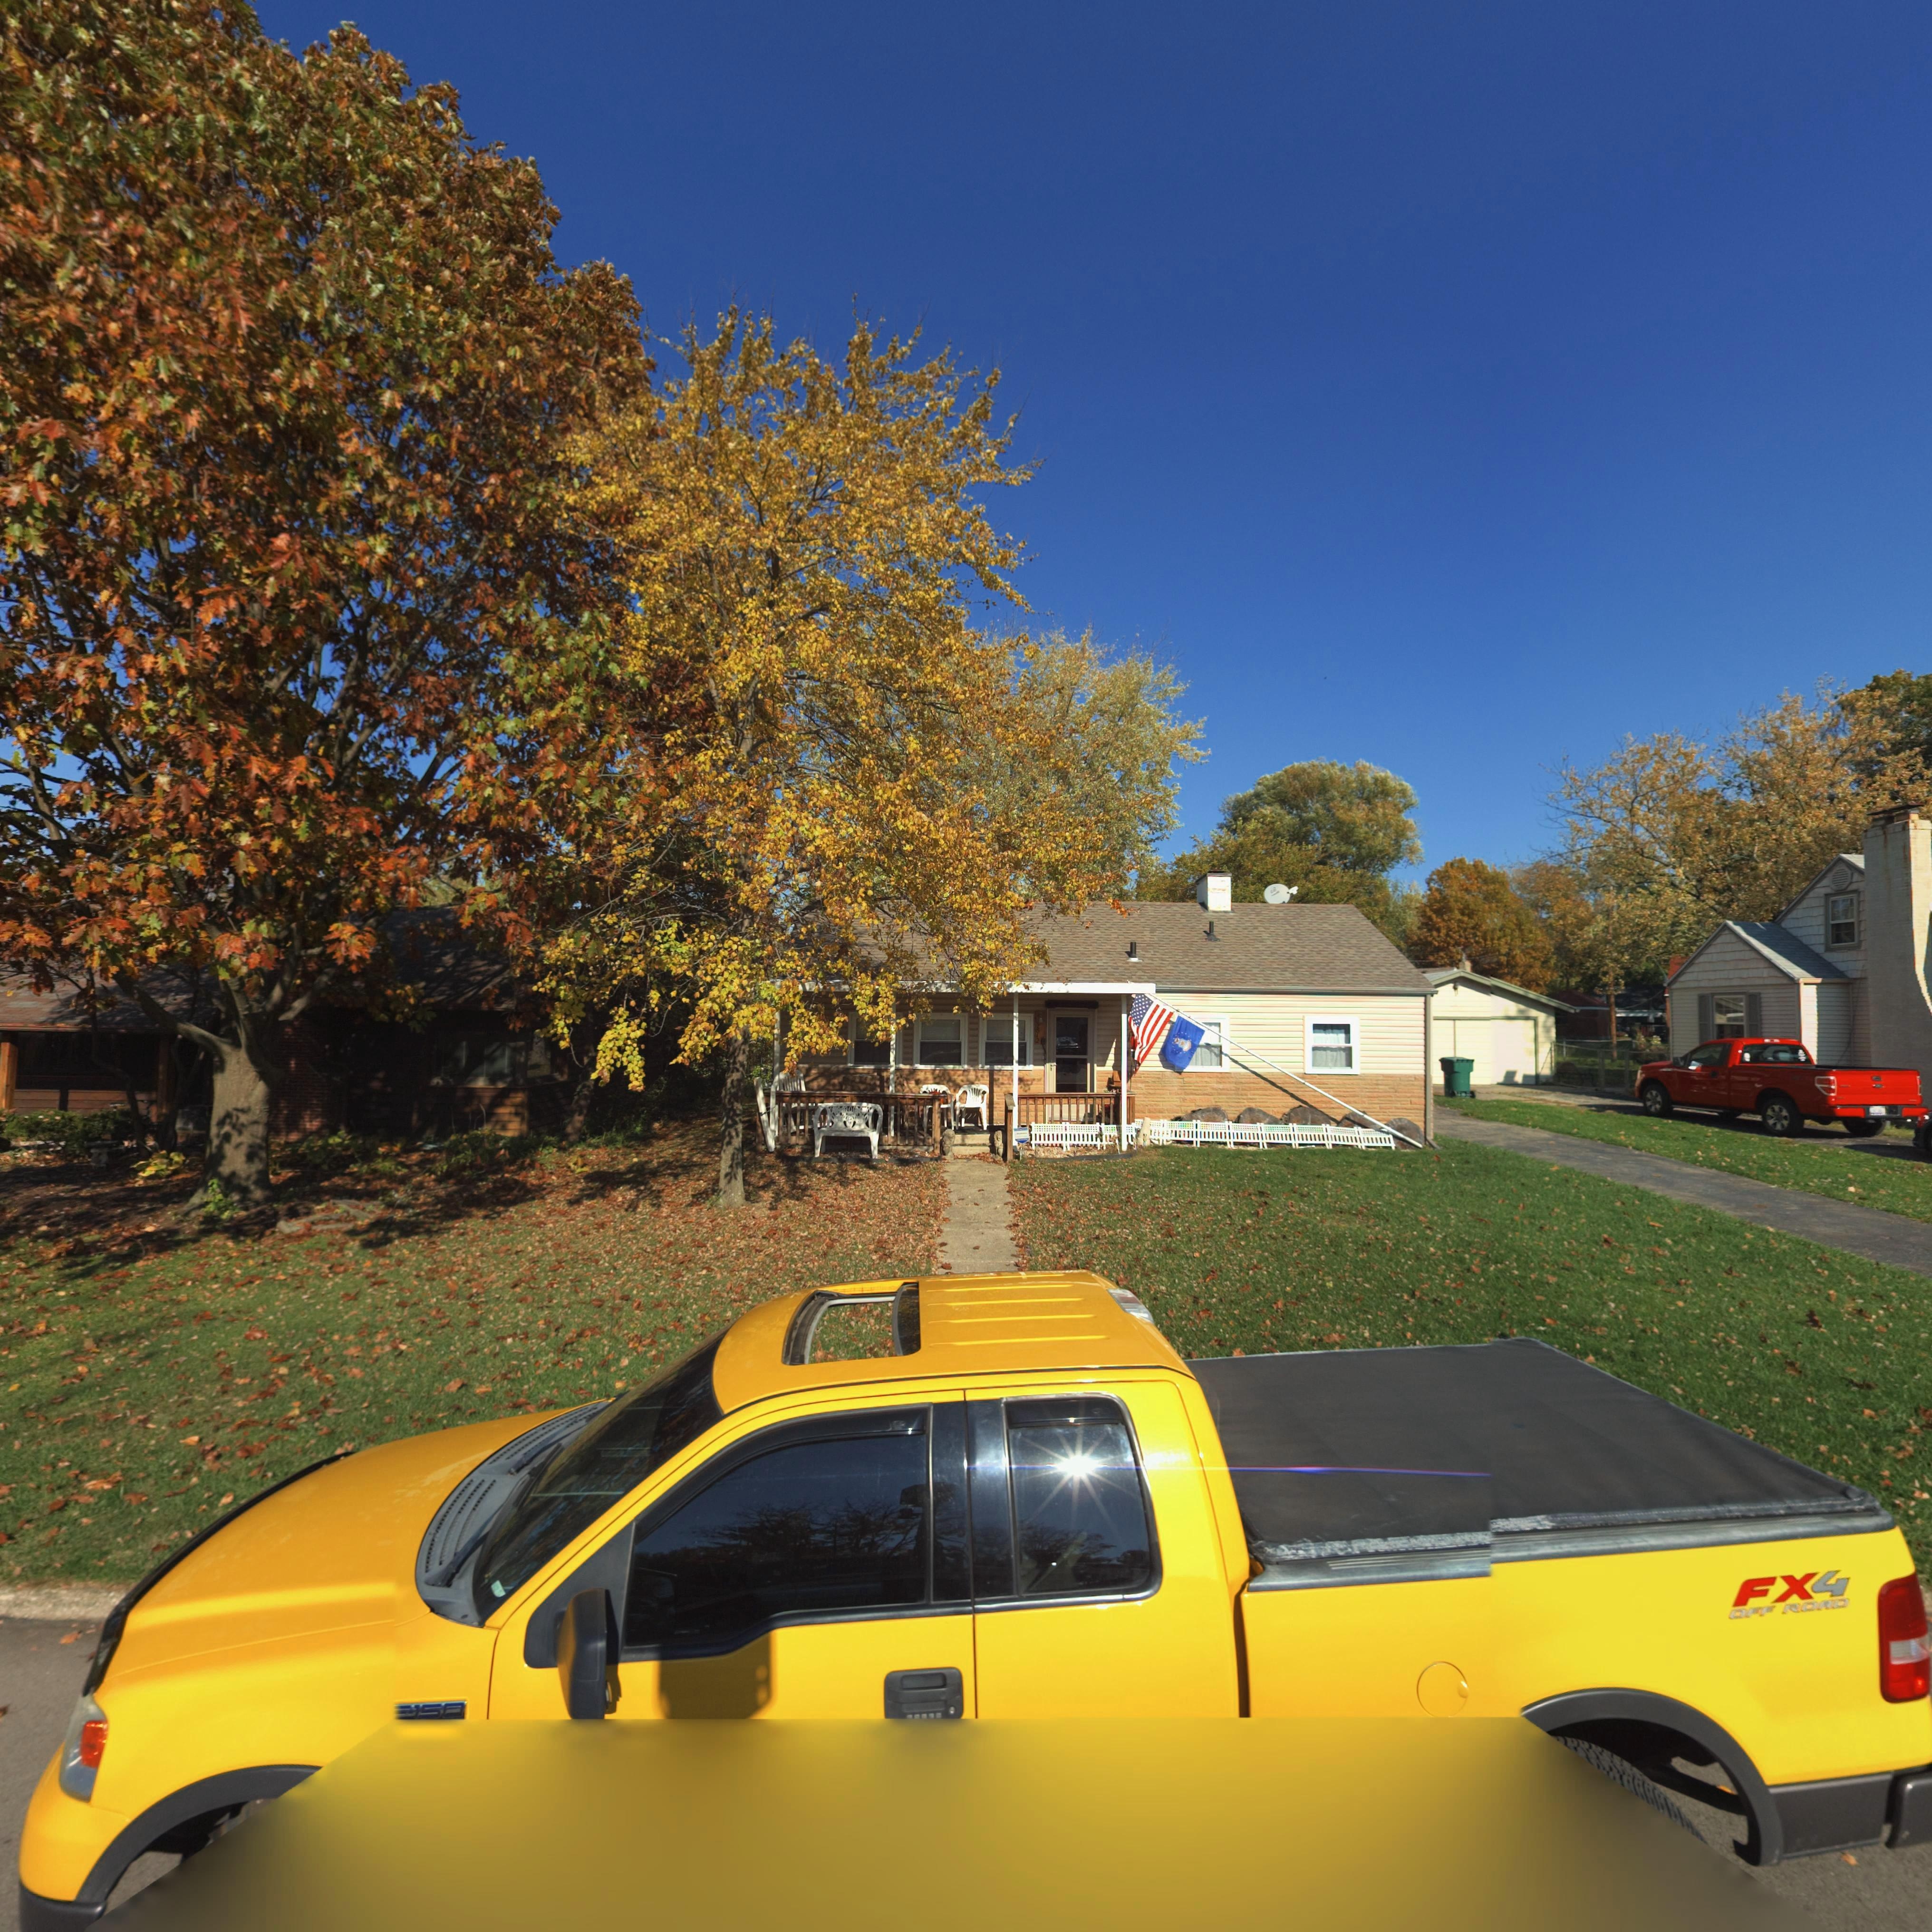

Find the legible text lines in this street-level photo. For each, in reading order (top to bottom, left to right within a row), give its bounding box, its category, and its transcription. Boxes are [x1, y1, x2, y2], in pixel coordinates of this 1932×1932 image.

[1035, 1027, 1040, 1043] StreetNumber: 812